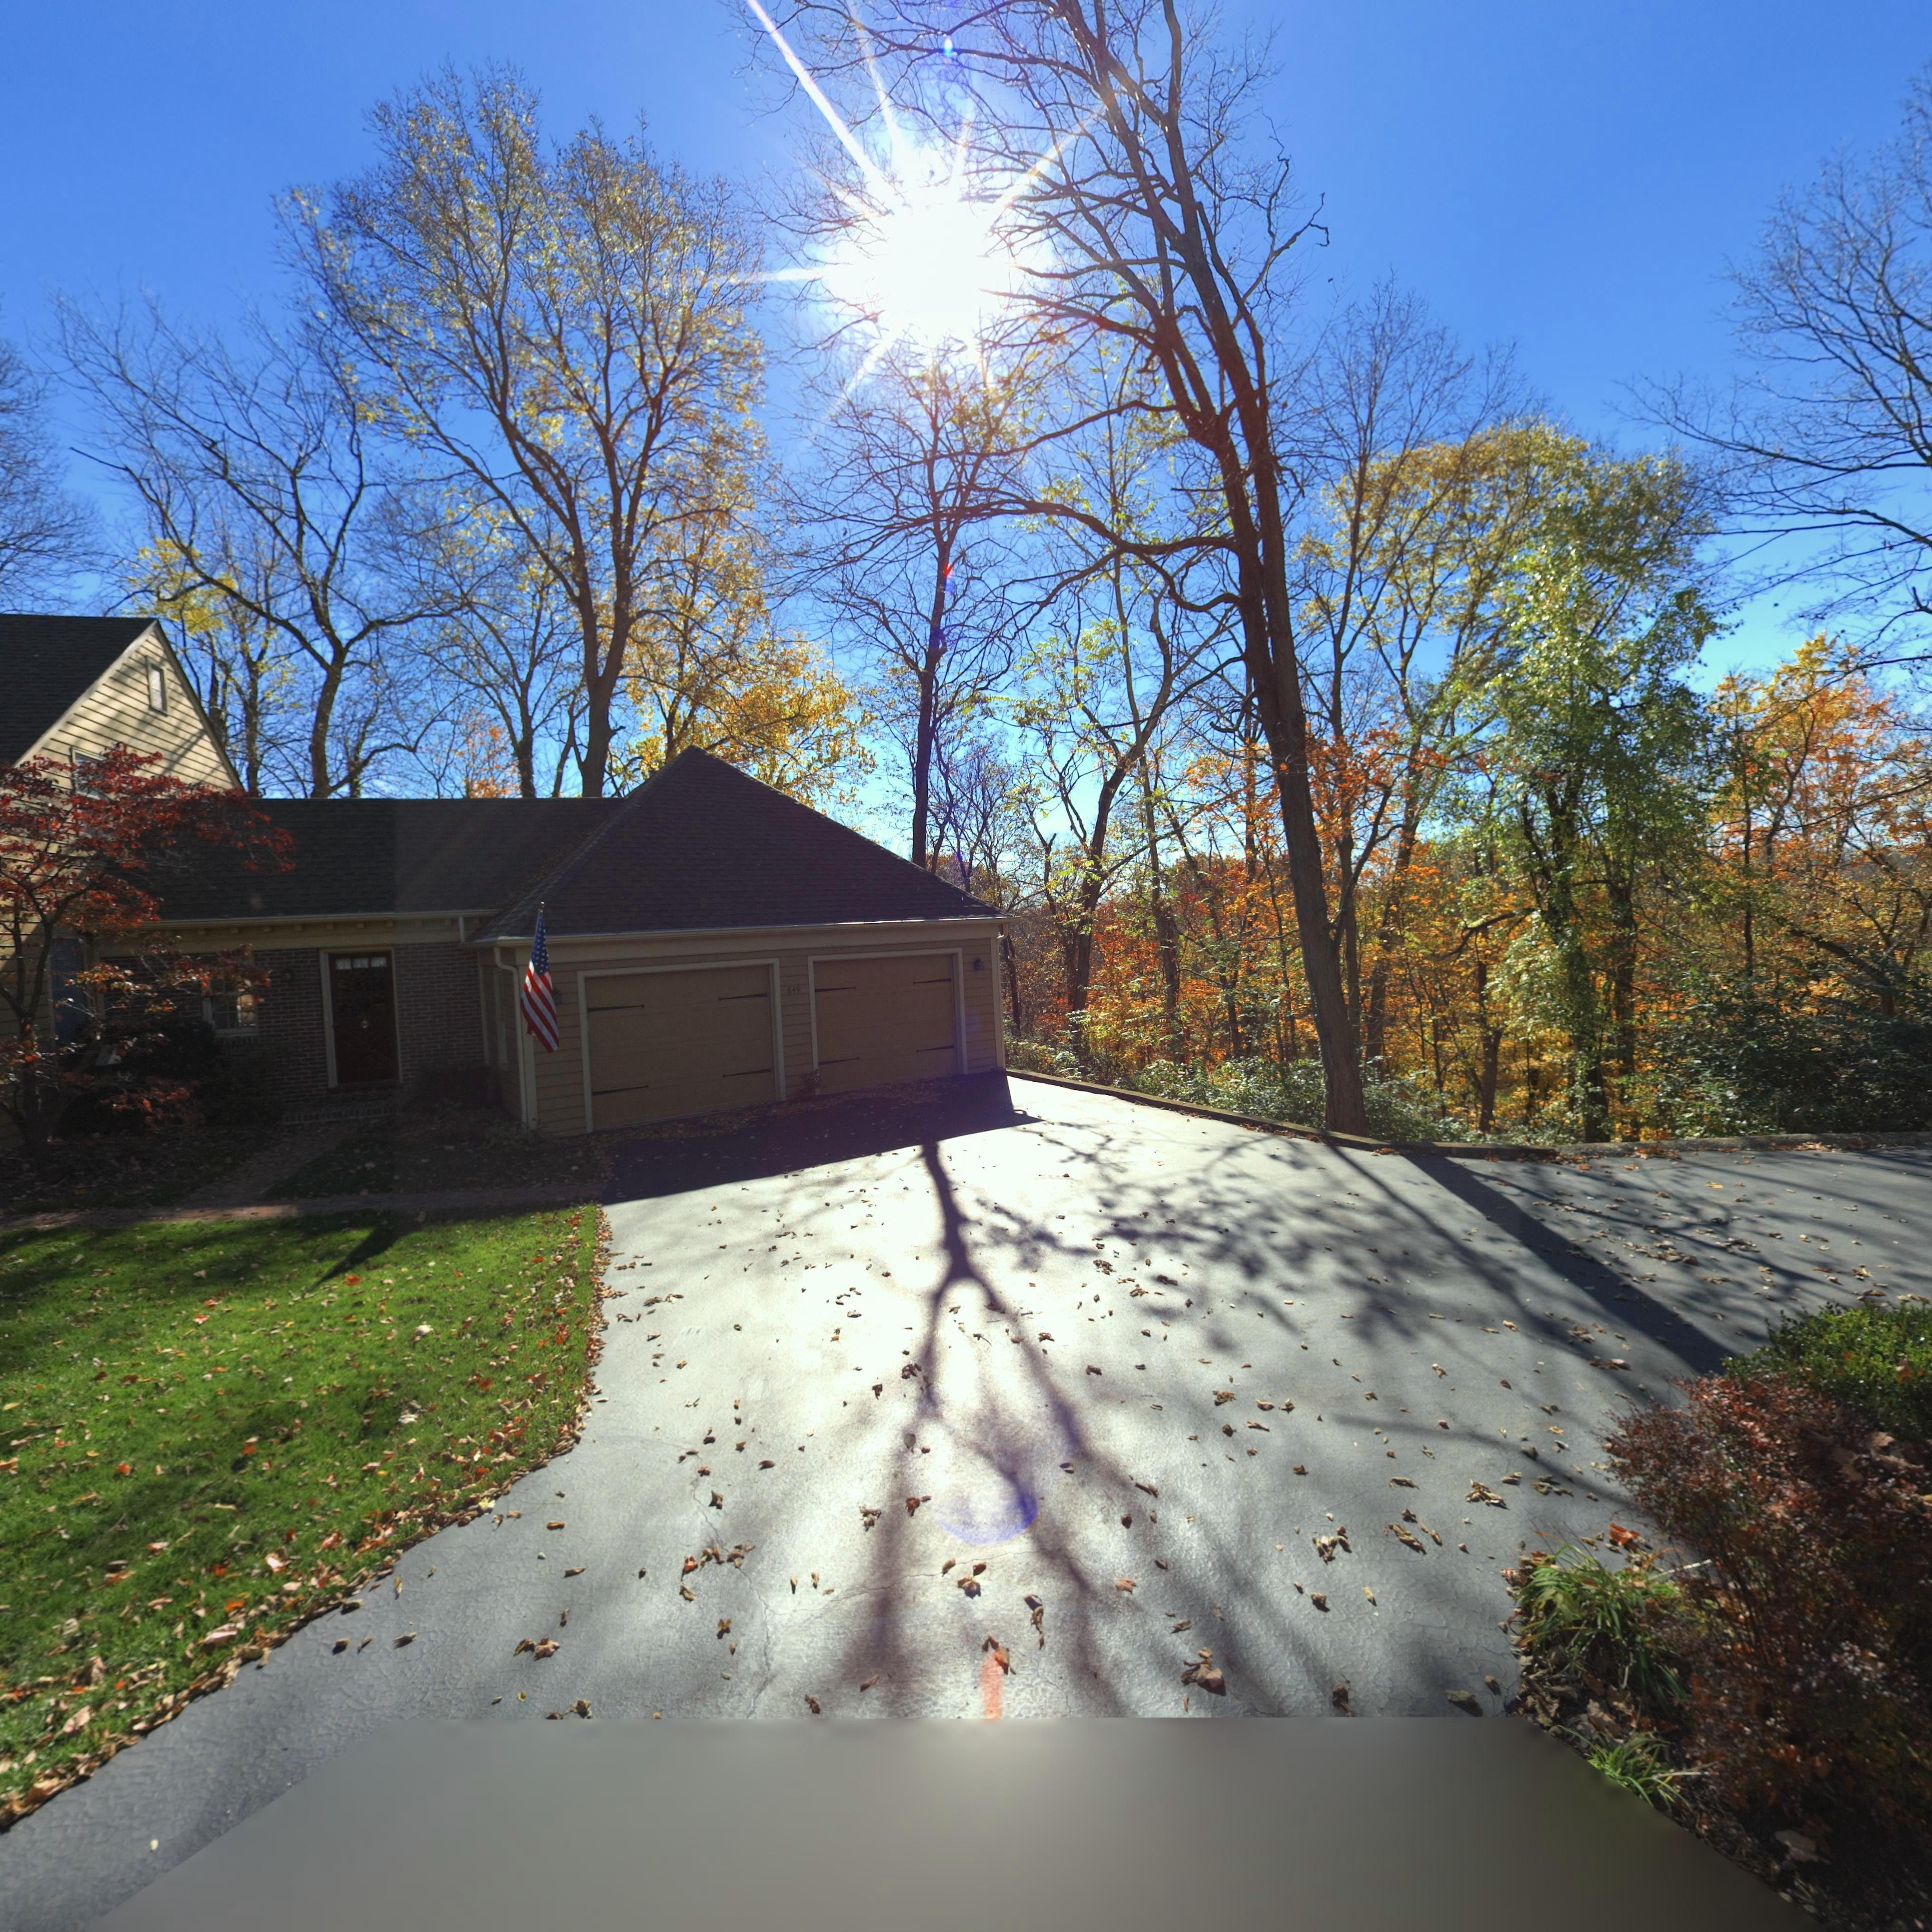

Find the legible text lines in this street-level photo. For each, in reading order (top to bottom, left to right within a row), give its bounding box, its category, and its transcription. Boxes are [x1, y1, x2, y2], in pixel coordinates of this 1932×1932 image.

[787, 985, 802, 995] StreetNumber: 849